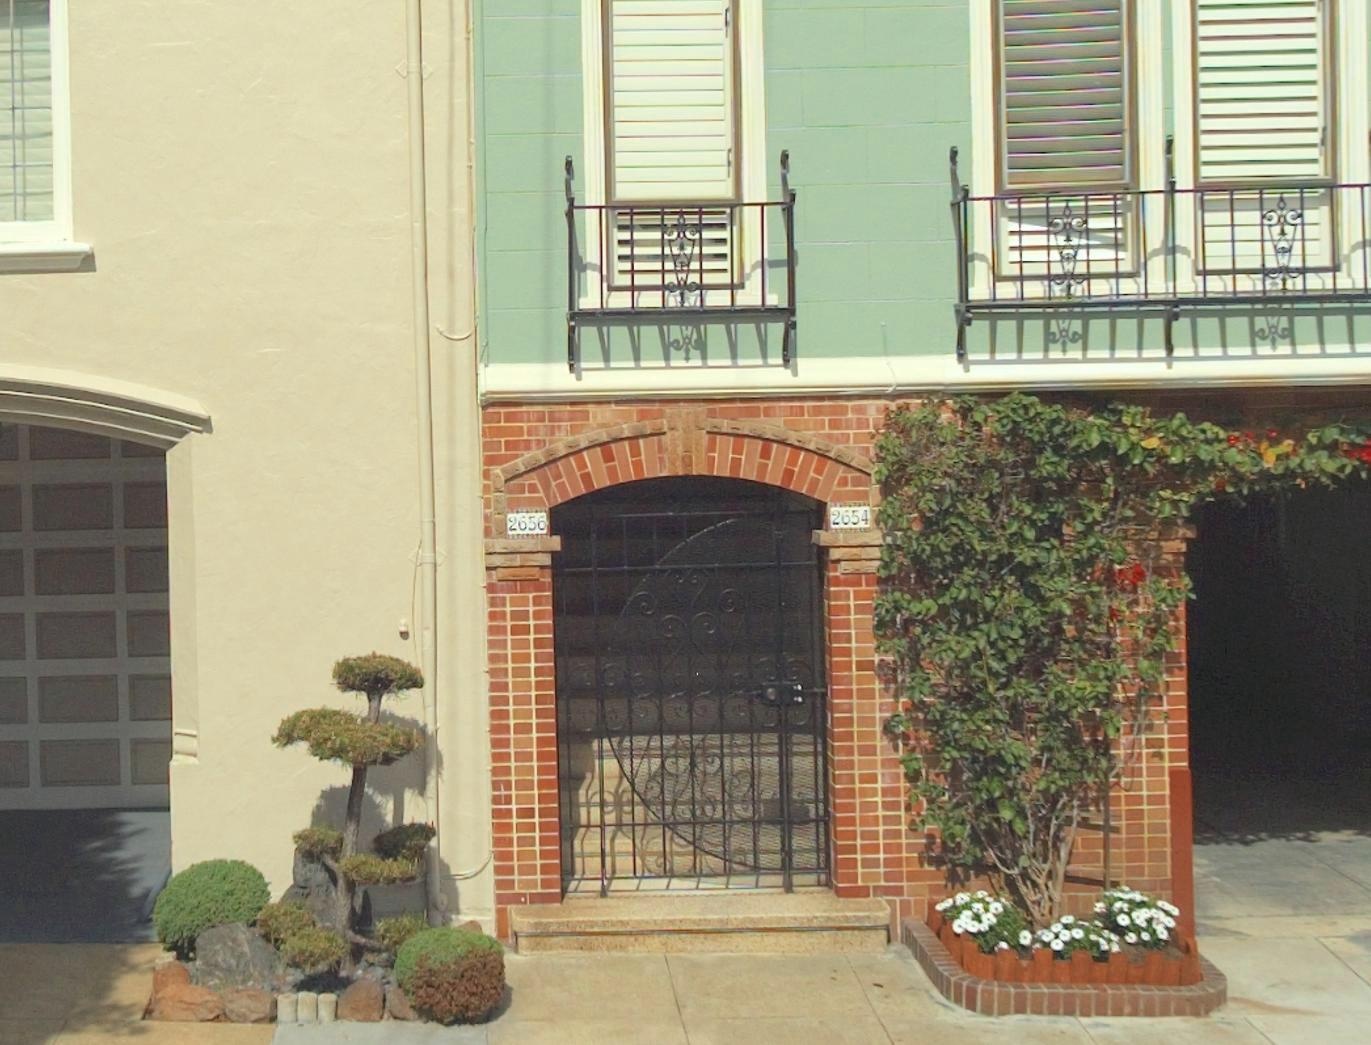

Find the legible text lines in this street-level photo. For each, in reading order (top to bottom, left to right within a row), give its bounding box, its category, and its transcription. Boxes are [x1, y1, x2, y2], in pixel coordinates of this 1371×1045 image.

[507, 513, 548, 534] StreetNumber: 2656
[830, 507, 871, 528] StreetNumber: 2654